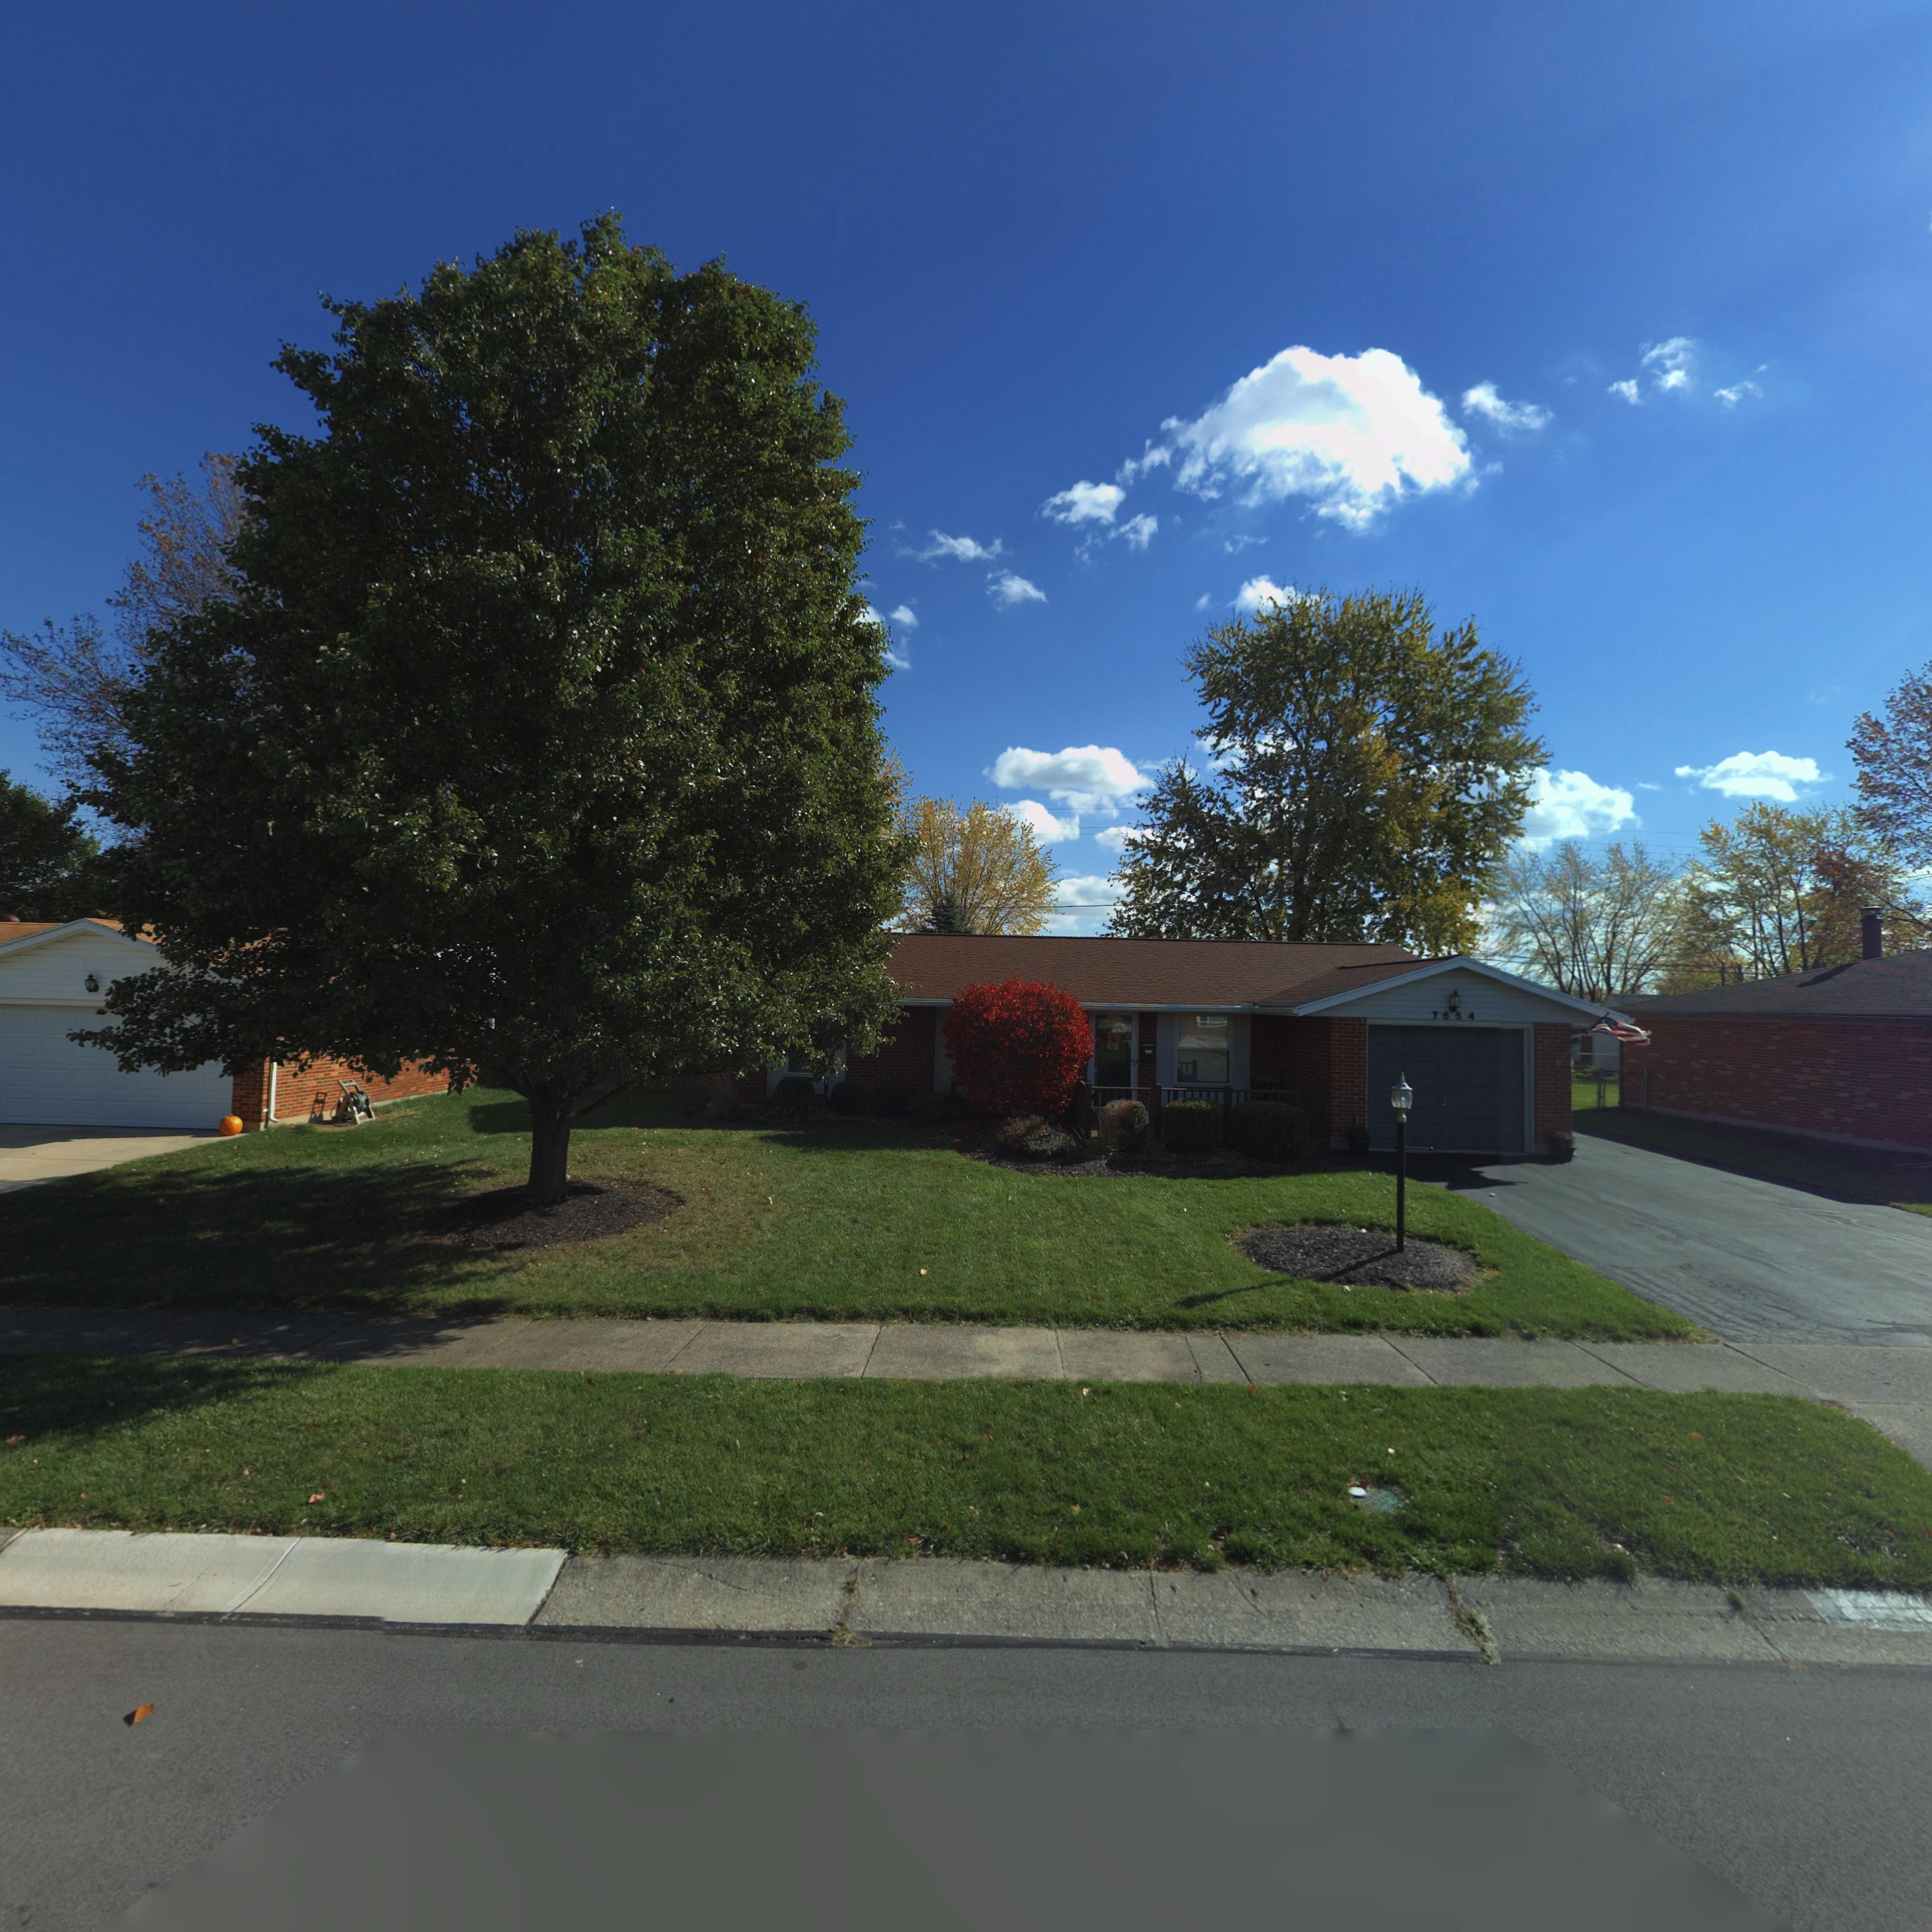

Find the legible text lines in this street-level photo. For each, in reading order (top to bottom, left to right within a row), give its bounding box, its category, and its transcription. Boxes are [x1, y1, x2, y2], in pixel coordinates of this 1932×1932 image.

[1430, 1010, 1476, 1022] StreetNumber: 7654